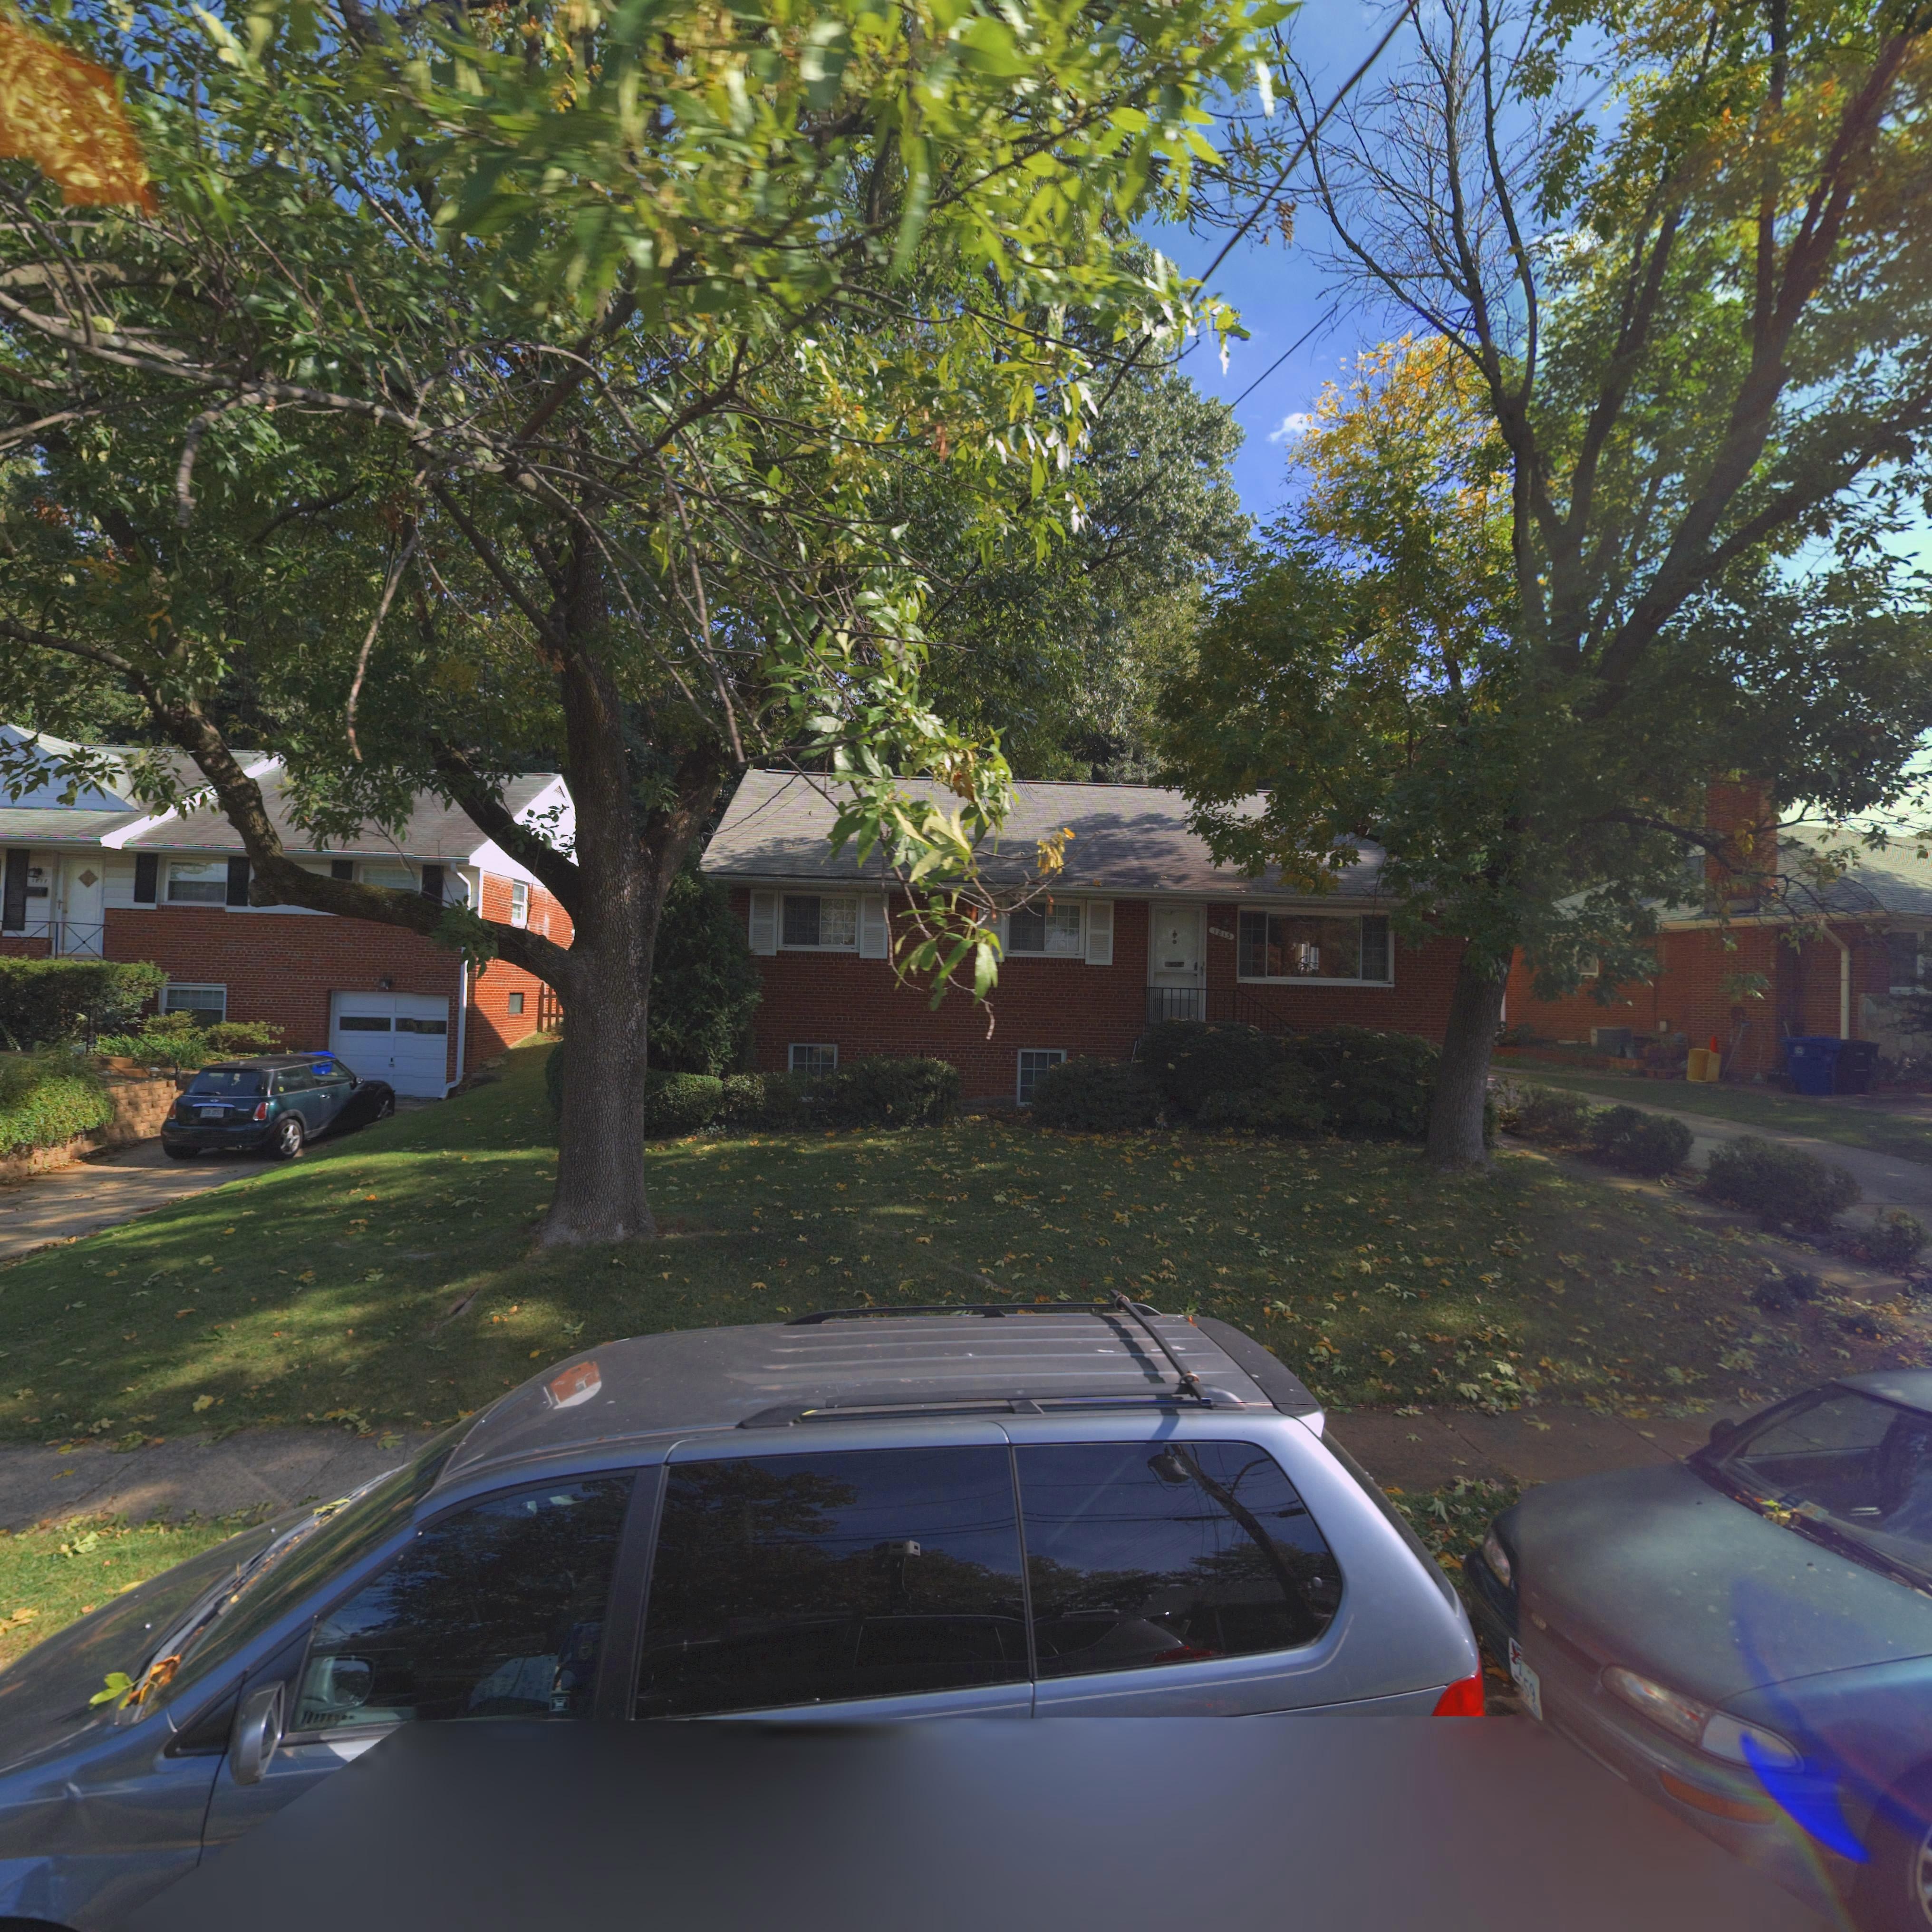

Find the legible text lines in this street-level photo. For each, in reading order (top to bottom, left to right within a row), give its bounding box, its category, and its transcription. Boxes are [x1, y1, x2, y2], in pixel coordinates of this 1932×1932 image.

[1213, 927, 1231, 940] StreetNumber: 1615
[211, 1110, 222, 1115] None: 052
[1523, 1675, 1536, 1704] None: 59